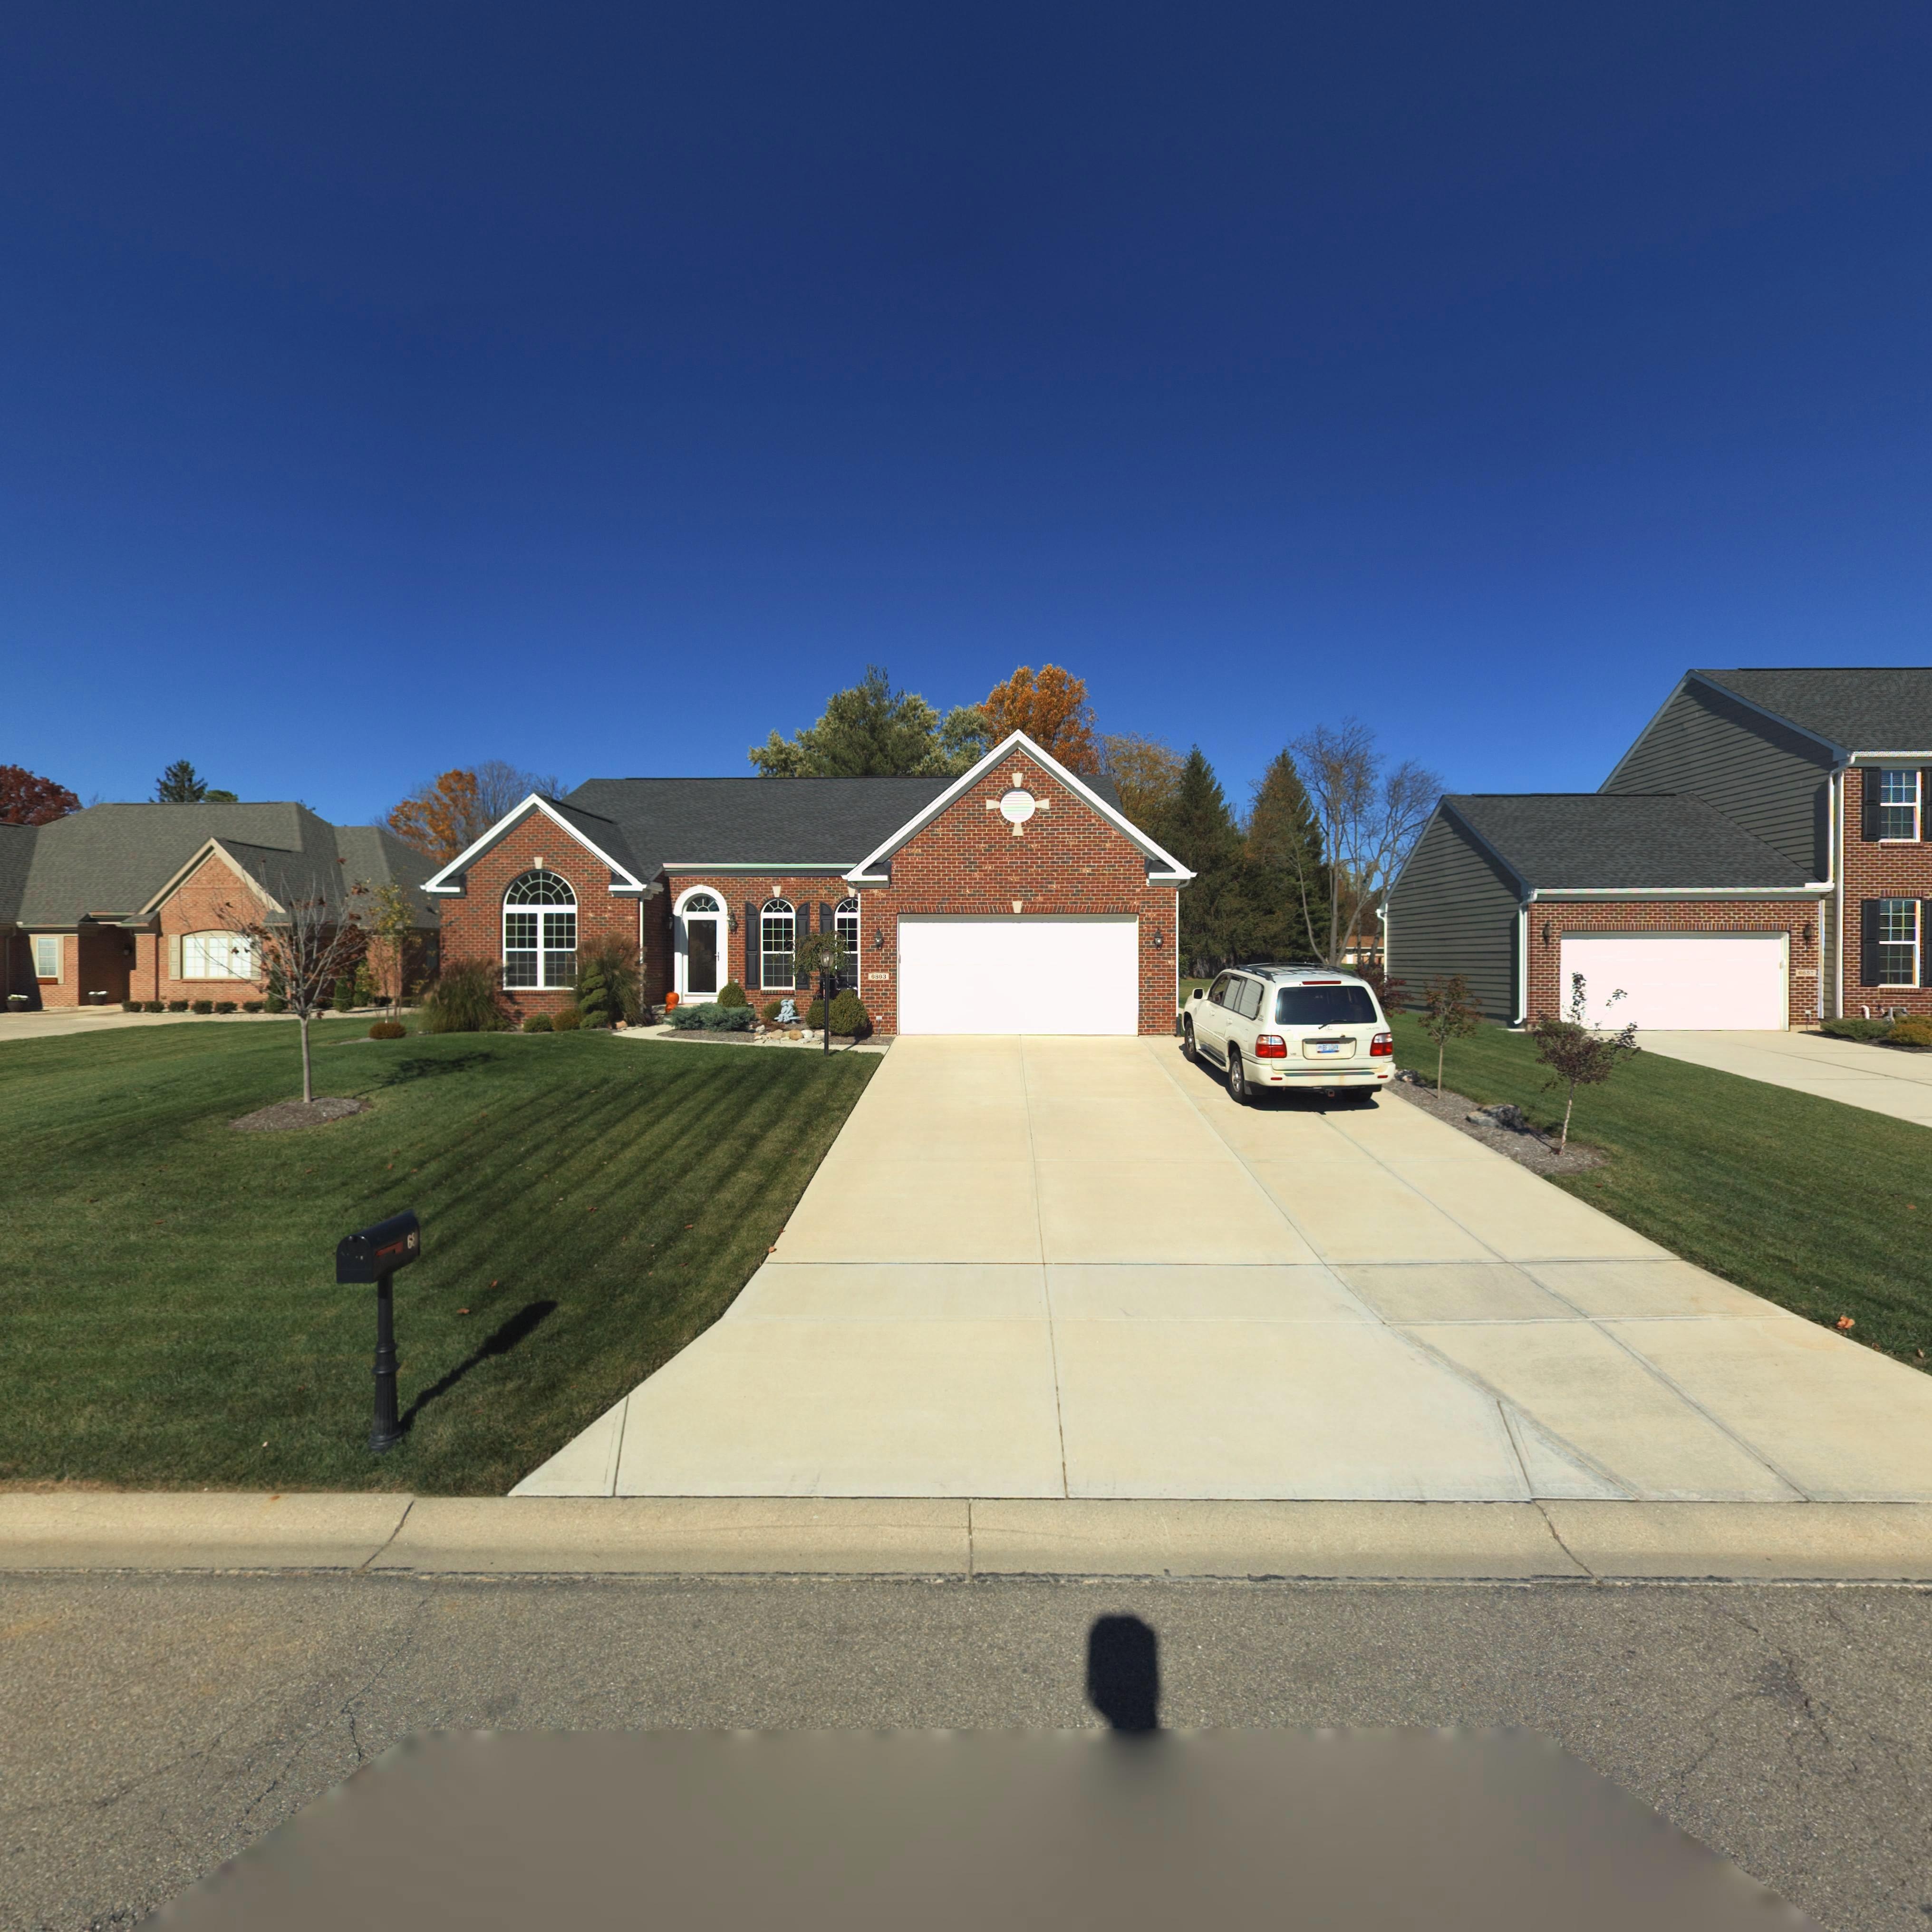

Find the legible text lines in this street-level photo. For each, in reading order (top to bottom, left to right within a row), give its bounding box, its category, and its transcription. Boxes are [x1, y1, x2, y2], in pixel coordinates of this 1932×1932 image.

[871, 973, 887, 980] StreetNumber: ***3
[406, 1234, 413, 1250] StreetNumber: 6